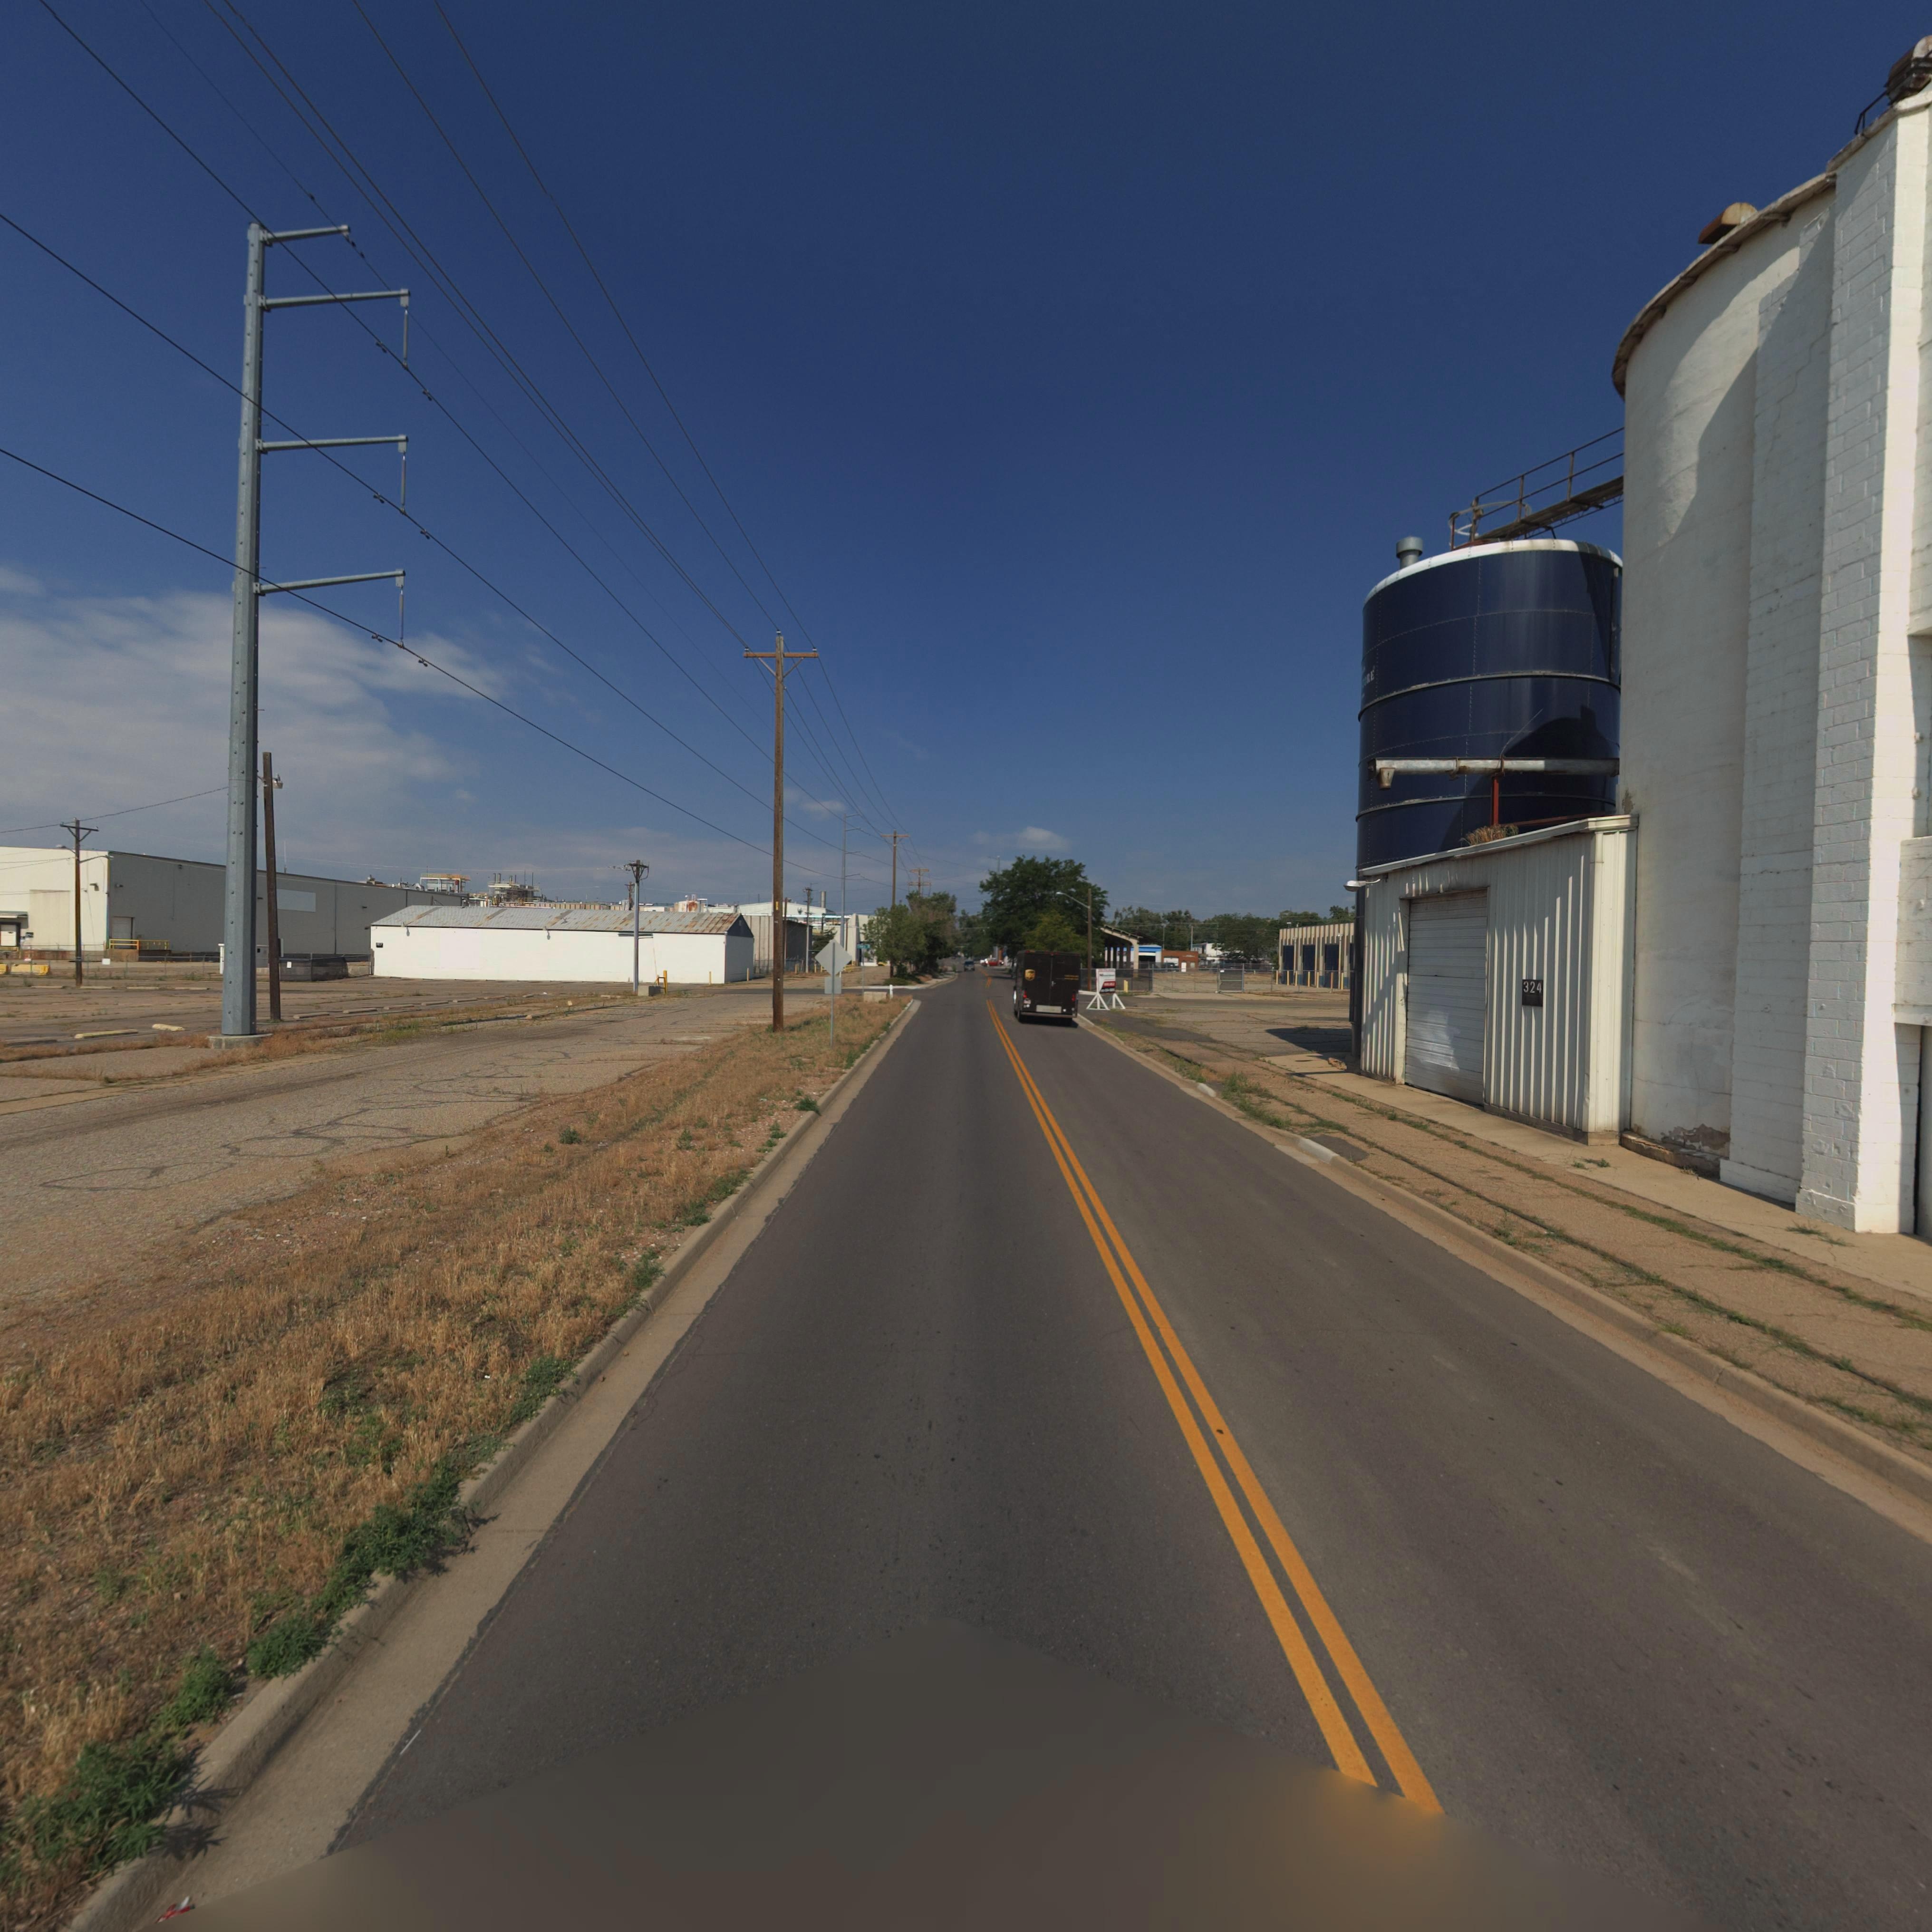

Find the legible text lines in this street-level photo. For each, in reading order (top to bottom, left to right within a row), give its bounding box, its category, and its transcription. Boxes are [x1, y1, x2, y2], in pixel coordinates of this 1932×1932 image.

[1523, 980, 1541, 993] StreetNumber: 324